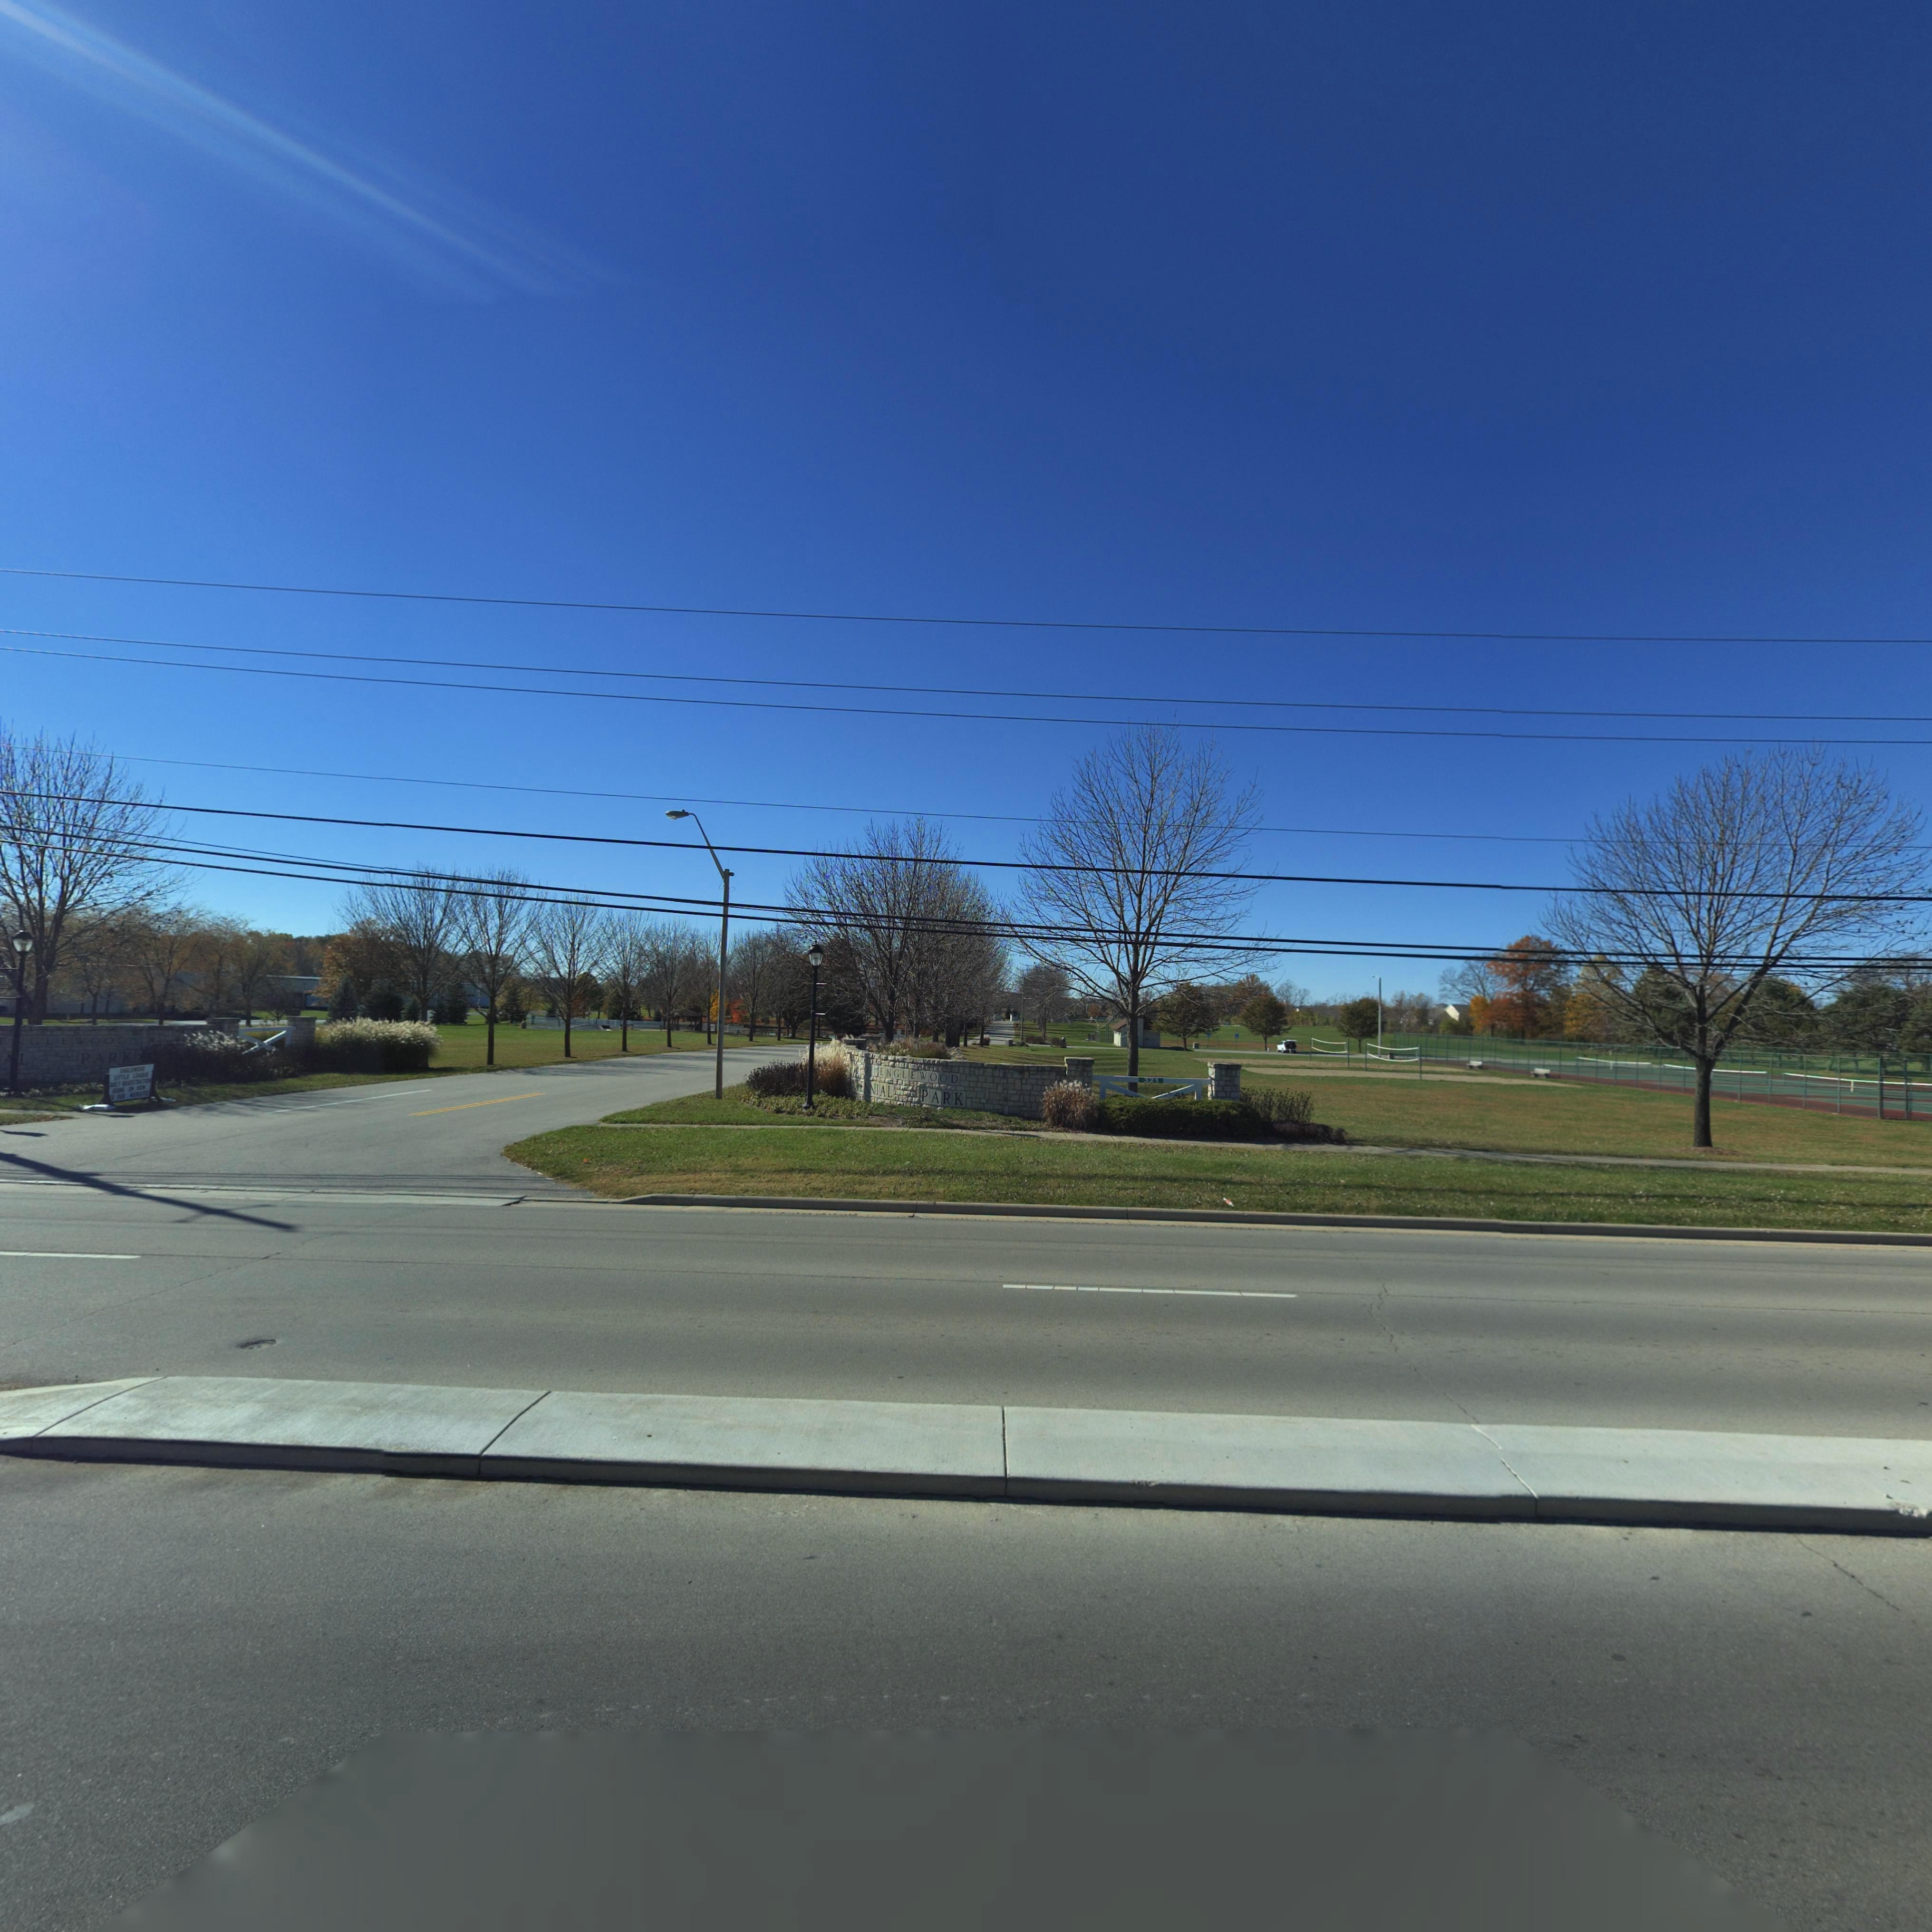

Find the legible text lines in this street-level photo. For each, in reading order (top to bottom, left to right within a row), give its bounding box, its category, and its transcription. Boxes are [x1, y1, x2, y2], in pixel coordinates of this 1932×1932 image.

[26, 1035, 129, 1047] None: GLEWOOD
[18, 1050, 134, 1066] None: L PARK
[863, 1064, 960, 1085] None: OF ENGLEWOOD
[1143, 1077, 1159, 1084] StreetNumber: 321
[859, 1079, 964, 1107] None: ENNIAL PARK